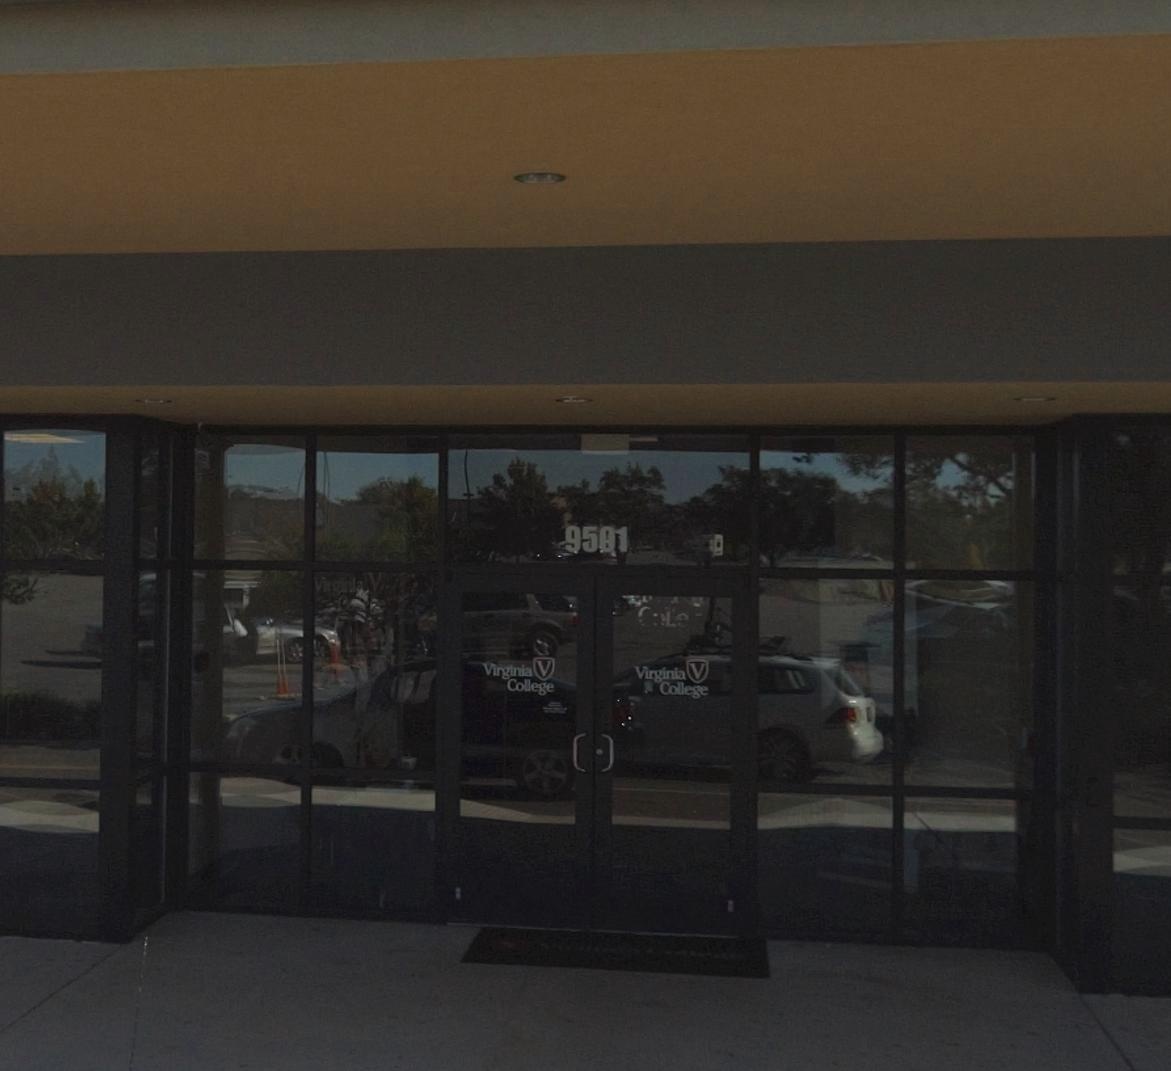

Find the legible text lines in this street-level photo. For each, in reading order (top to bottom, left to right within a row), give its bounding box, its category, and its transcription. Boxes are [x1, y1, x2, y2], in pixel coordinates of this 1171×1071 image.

[564, 525, 630, 554] StreetNumber: 9501
[481, 661, 534, 681] BusinessName: Virginia
[535, 660, 553, 678] None: V
[633, 665, 687, 684] BusinessName: Virginia
[688, 662, 707, 680] None: V
[506, 678, 555, 697] BusinessName: College
[658, 681, 709, 700] BusinessName: College